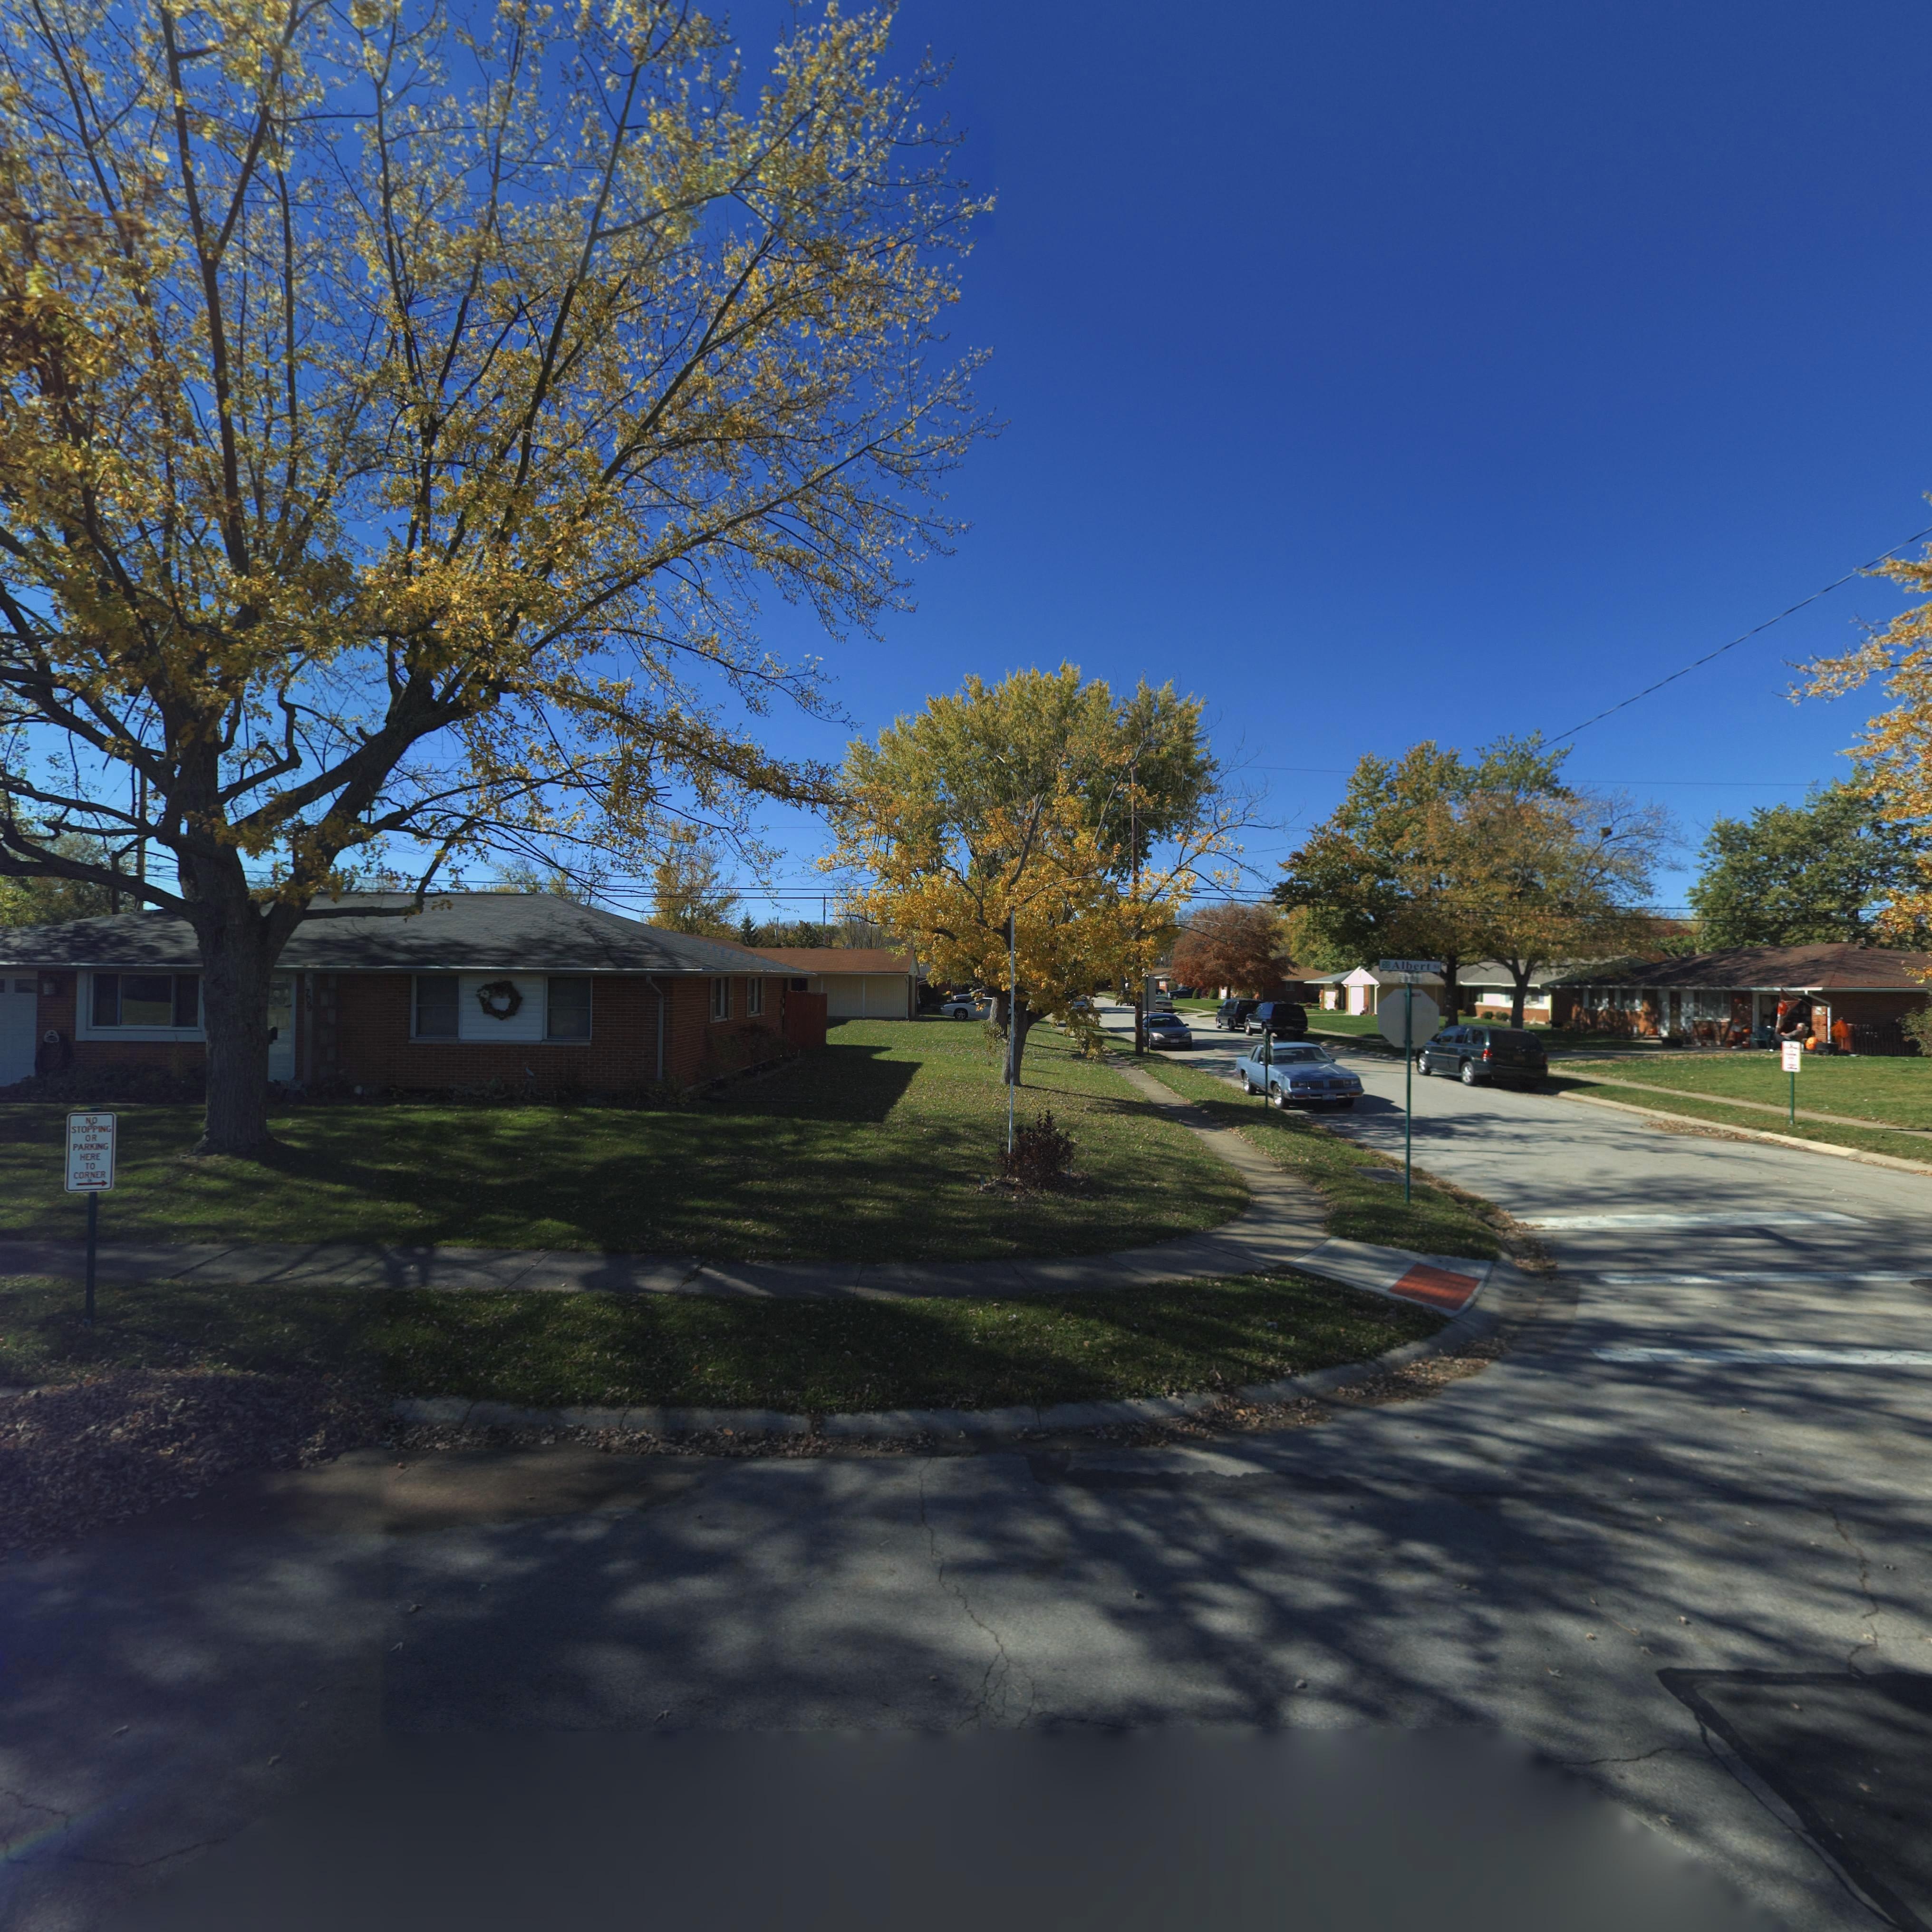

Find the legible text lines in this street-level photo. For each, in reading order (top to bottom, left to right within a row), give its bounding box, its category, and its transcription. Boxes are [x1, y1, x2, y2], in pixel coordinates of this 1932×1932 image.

[1390, 960, 1431, 971] StreetName: Albert
[304, 988, 313, 1013] StreetNumber: 709
[85, 1116, 98, 1125] None: NO
[70, 1124, 113, 1134] None: STOPPING
[85, 1134, 97, 1142] None: OR
[72, 1142, 109, 1152] None: PARKING
[79, 1152, 101, 1161] None: HERE
[85, 1162, 96, 1170] None: TO
[72, 1170, 106, 1180] None: CORNER